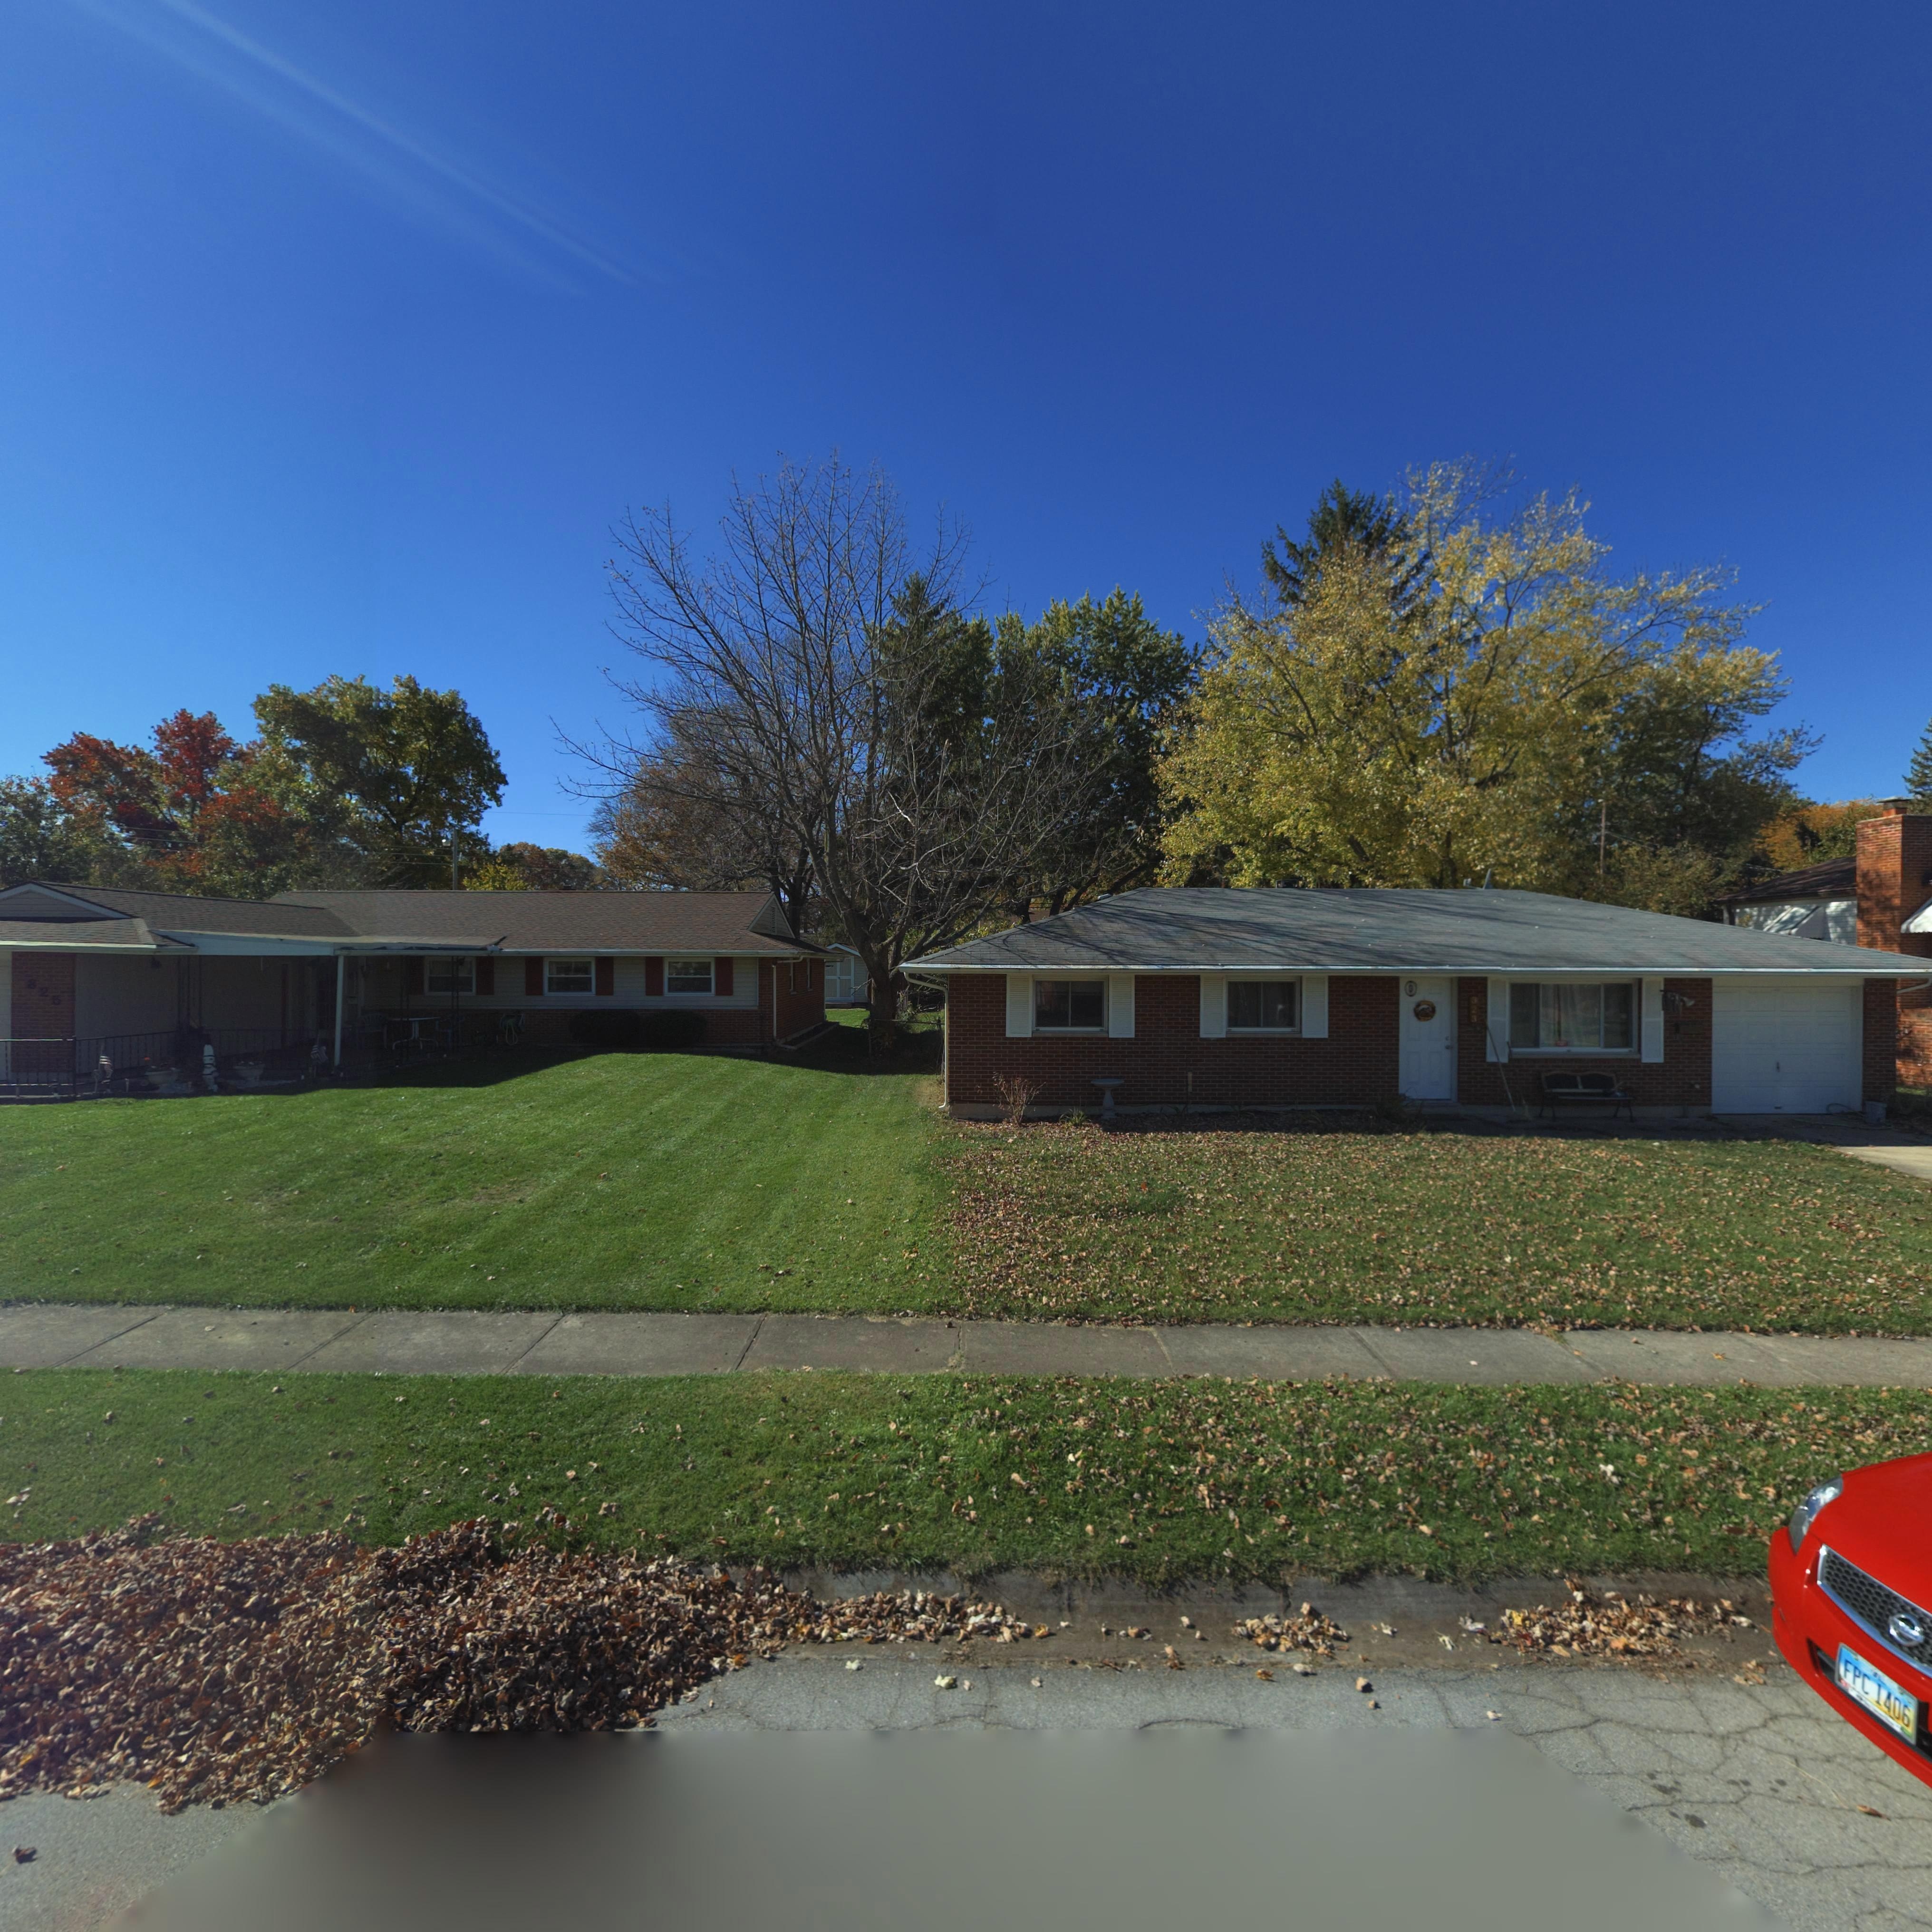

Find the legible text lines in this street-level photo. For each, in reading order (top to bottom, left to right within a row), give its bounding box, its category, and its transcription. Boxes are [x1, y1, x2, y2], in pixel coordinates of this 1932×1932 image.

[26, 977, 63, 1006] StreetNumber: 325
[1470, 995, 1478, 1024] StreetNumber: 323